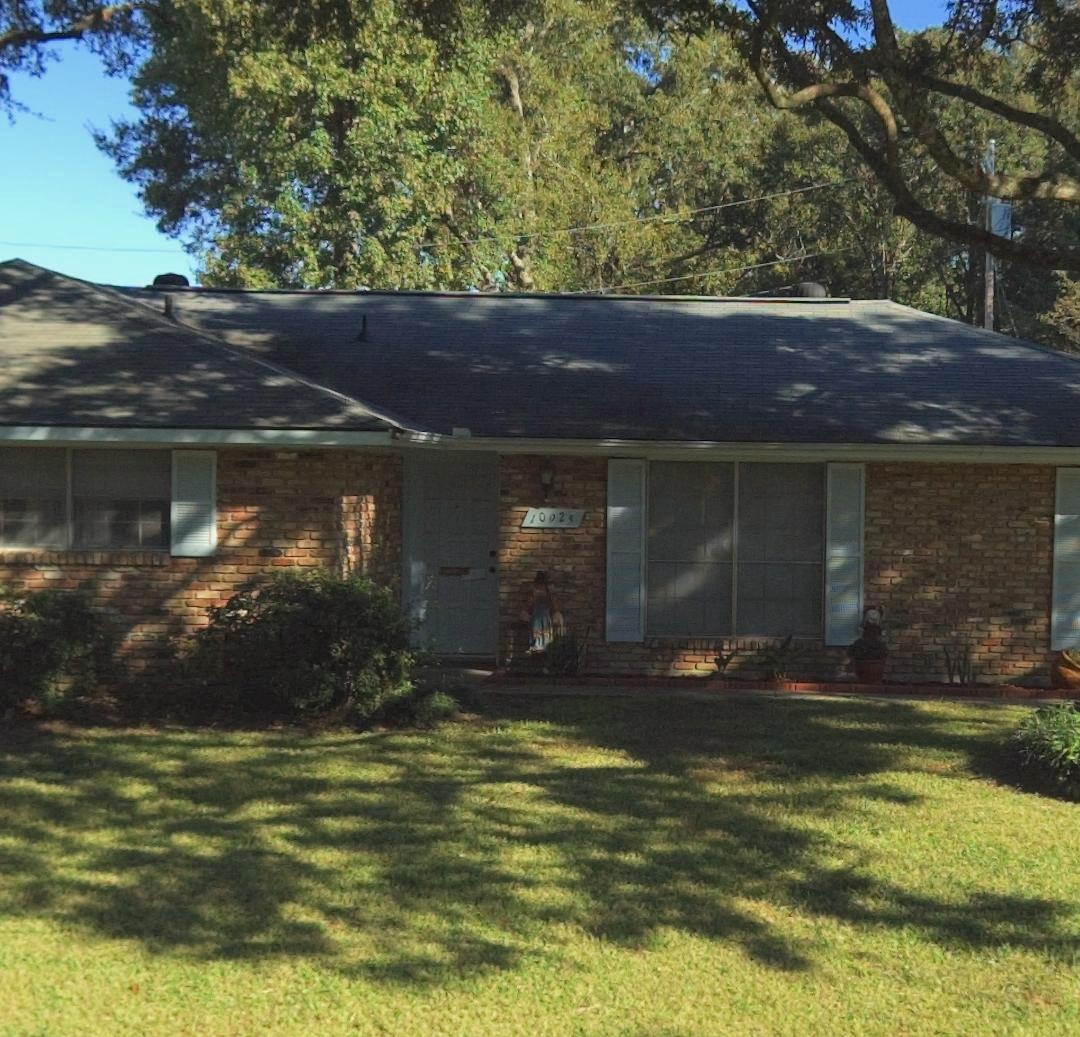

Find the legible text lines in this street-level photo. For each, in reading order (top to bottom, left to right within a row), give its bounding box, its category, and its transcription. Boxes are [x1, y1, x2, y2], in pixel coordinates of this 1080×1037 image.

[524, 509, 578, 528] StreetNumber: 10925